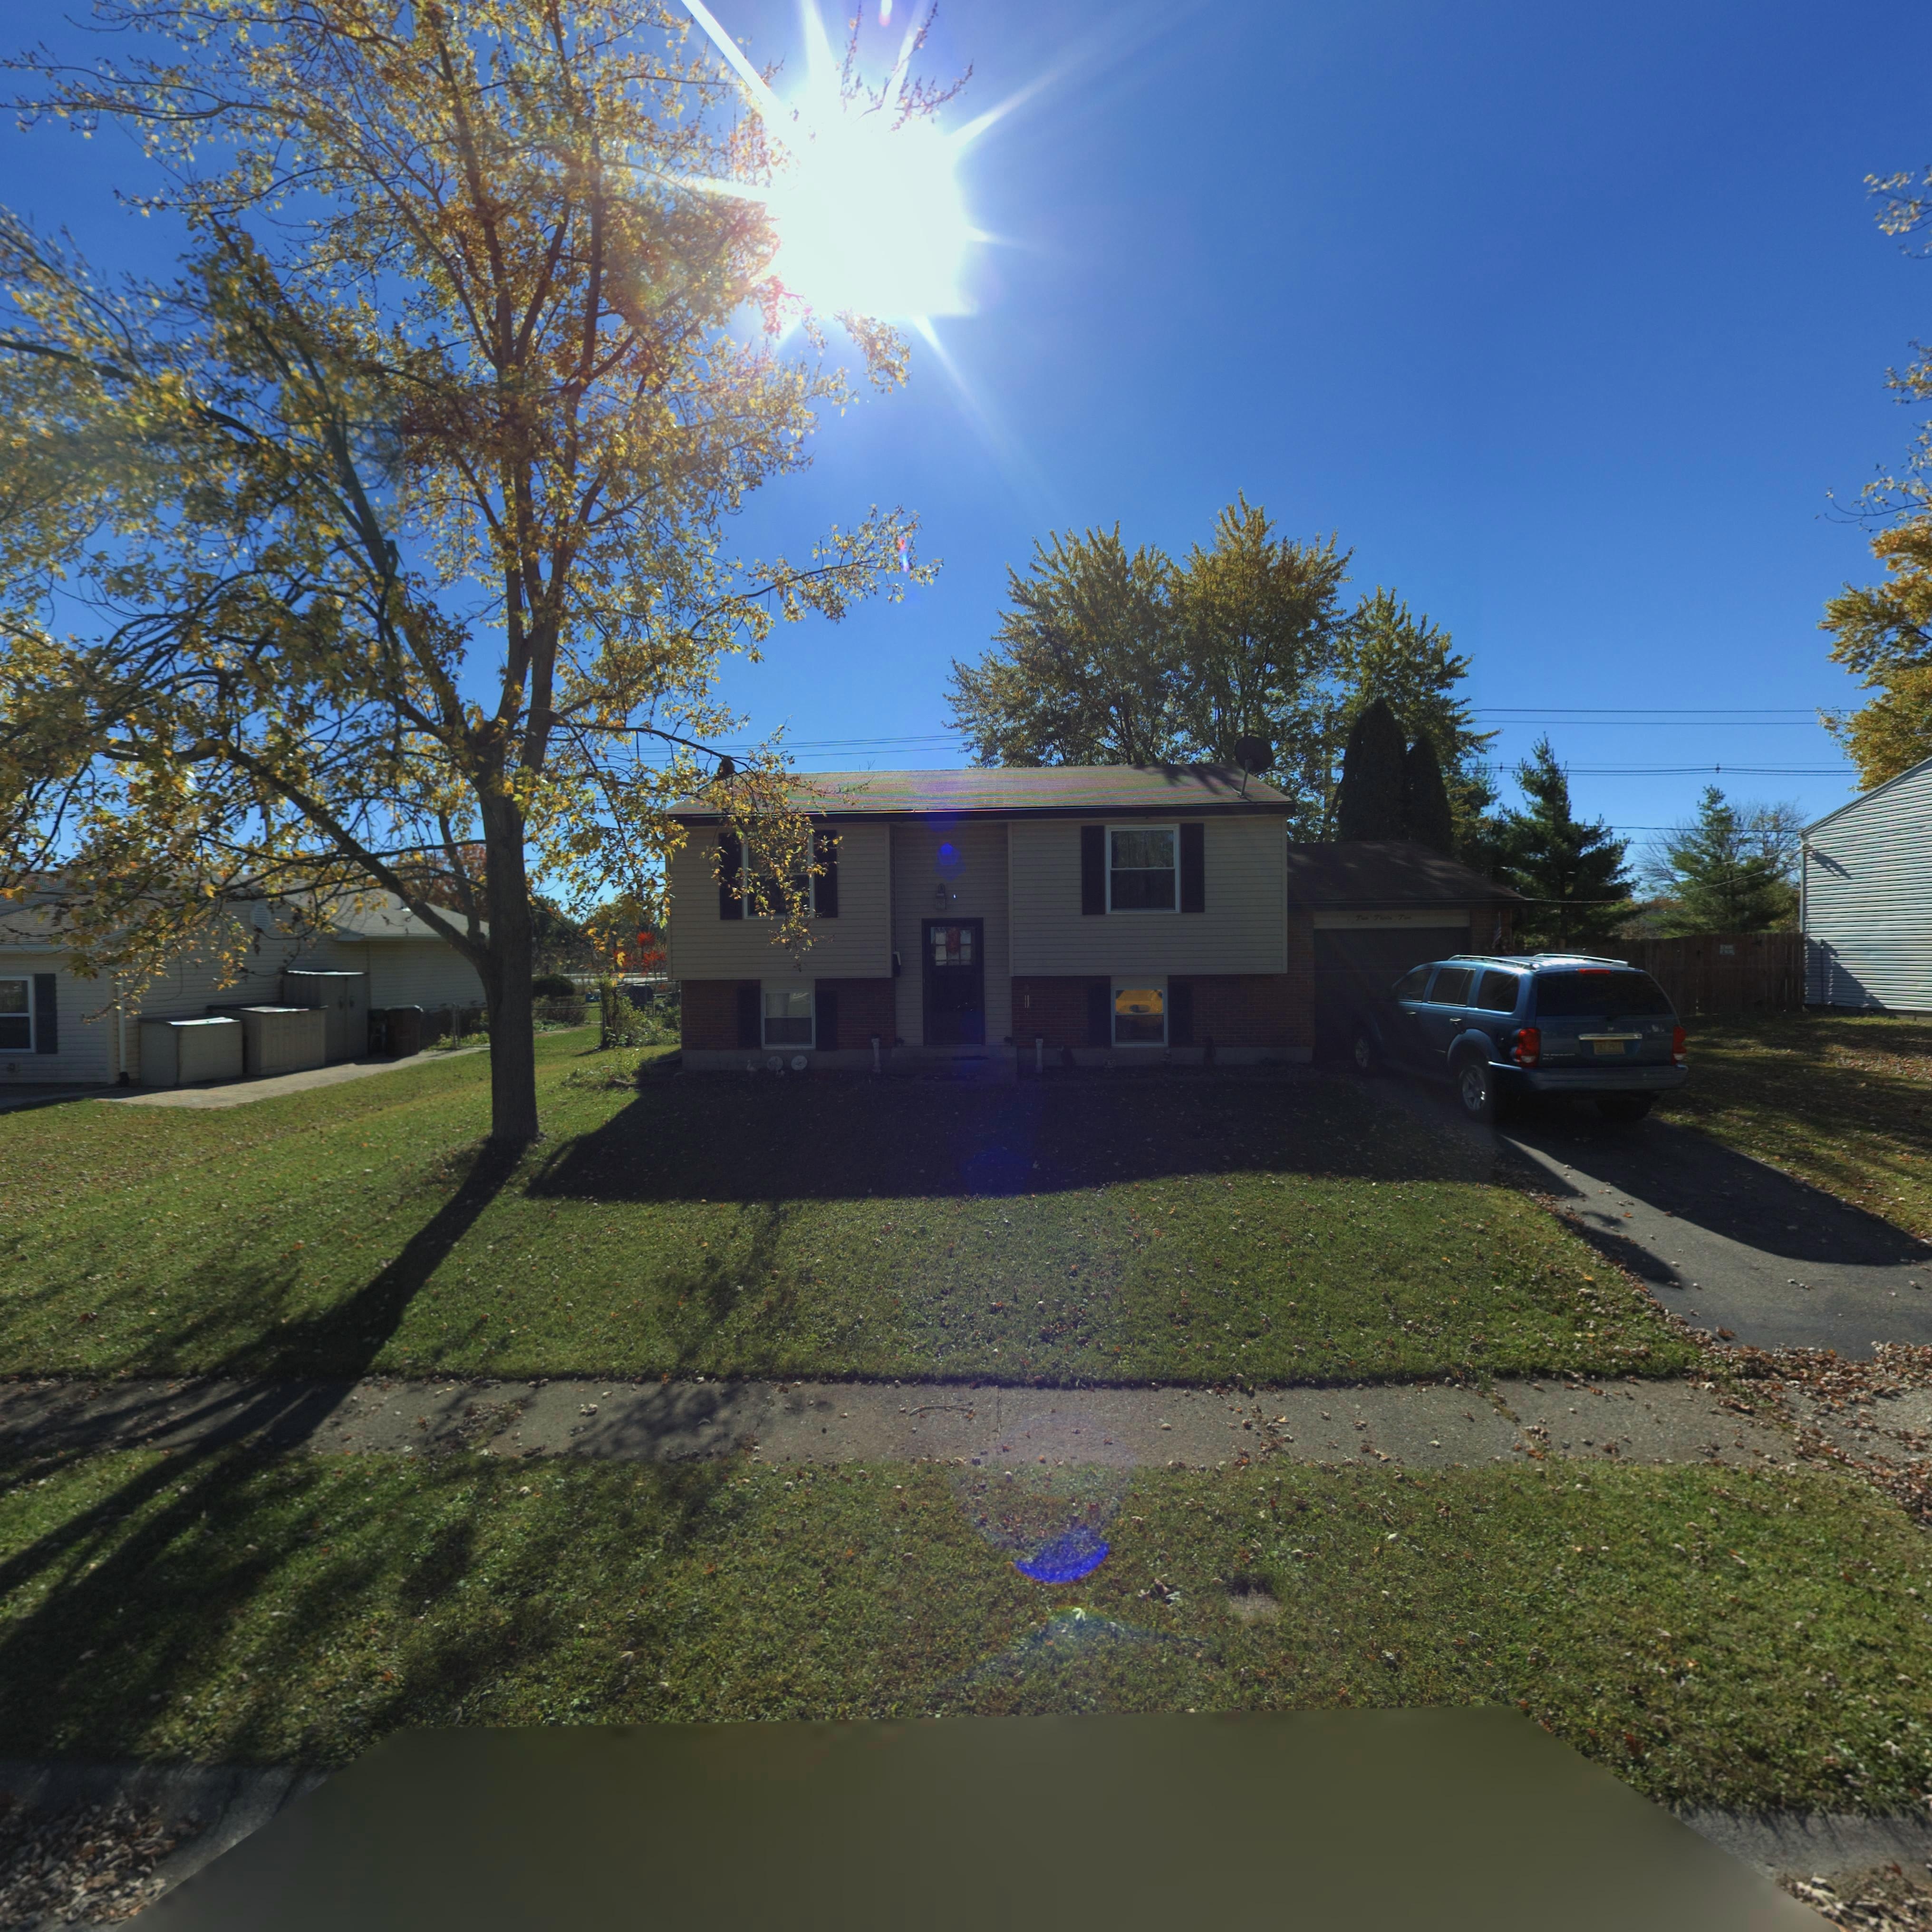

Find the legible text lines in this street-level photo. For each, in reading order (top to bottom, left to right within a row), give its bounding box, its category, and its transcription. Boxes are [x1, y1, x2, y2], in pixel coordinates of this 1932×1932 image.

[1355, 914, 1363, 922] StreetNumber: T
[1373, 914, 1382, 921] StreetNumber: T
[1398, 913, 1406, 921] StreetNumber: T